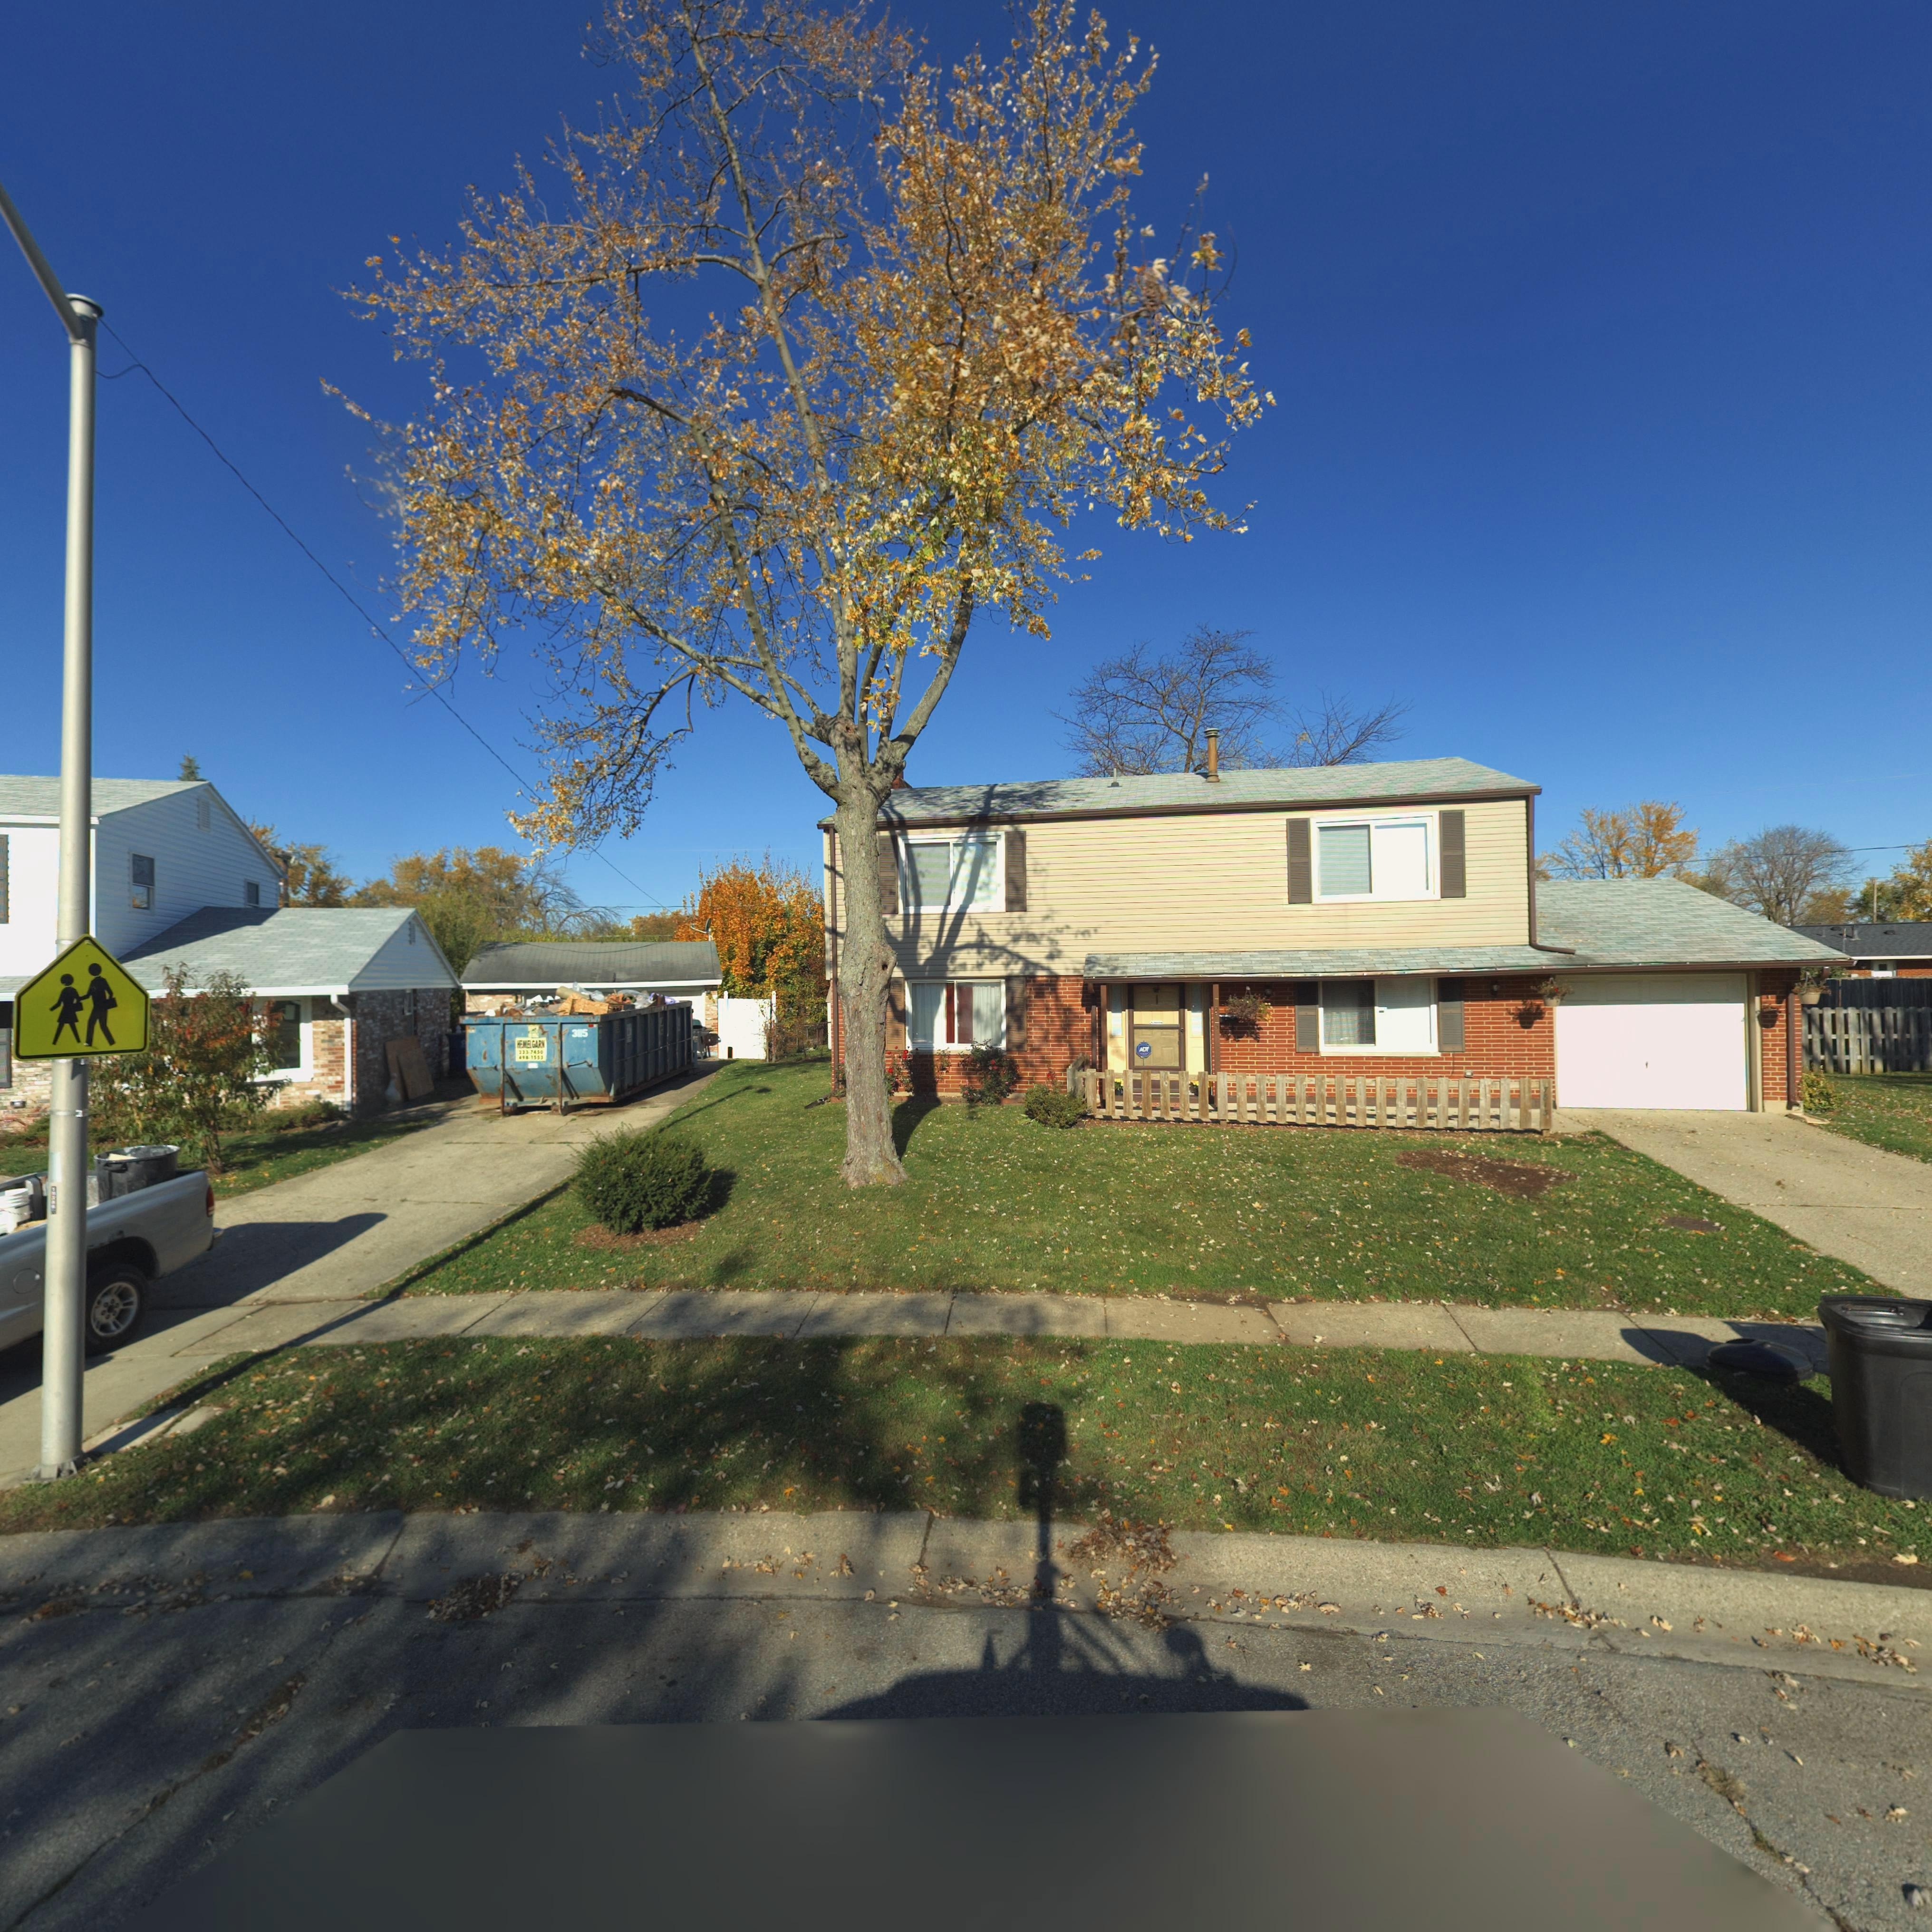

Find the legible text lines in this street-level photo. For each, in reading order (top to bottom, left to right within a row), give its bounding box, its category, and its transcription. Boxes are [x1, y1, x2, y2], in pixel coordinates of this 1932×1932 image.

[1214, 997, 1220, 1030] StreetNumber: 7813